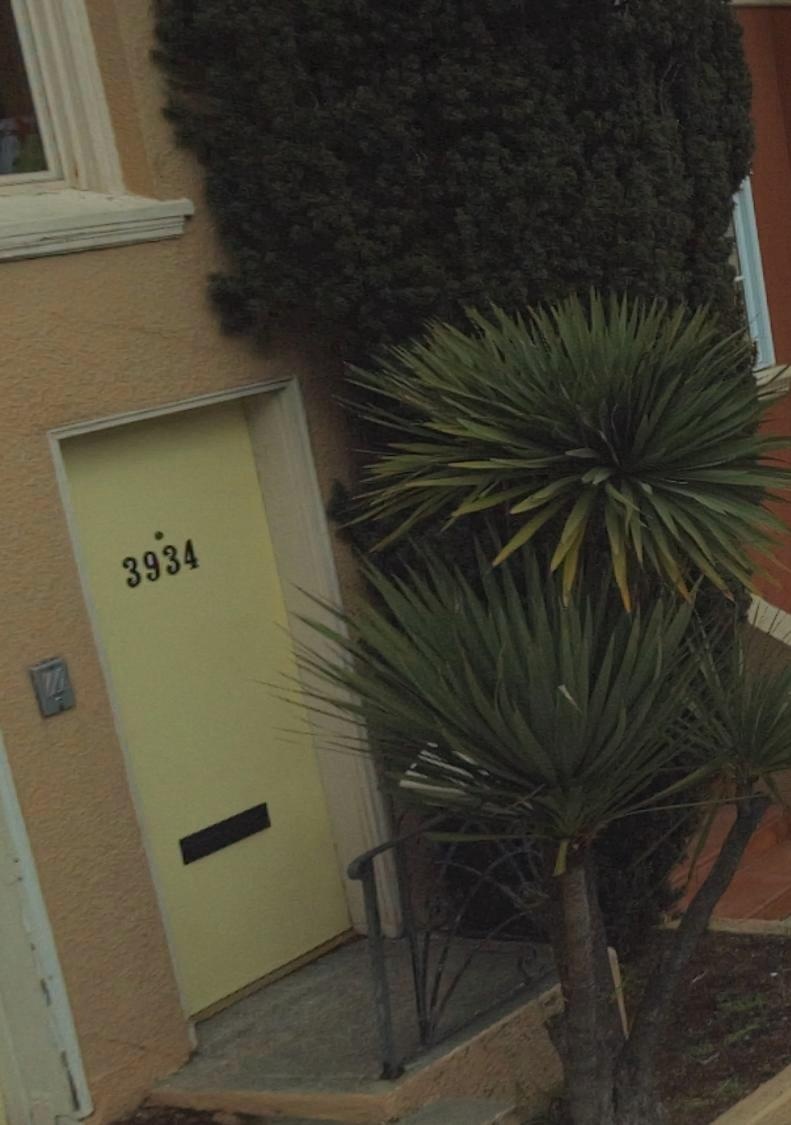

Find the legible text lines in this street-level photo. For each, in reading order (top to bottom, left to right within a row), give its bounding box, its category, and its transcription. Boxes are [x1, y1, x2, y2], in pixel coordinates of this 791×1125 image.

[119, 537, 204, 590] StreetNumber: 3934